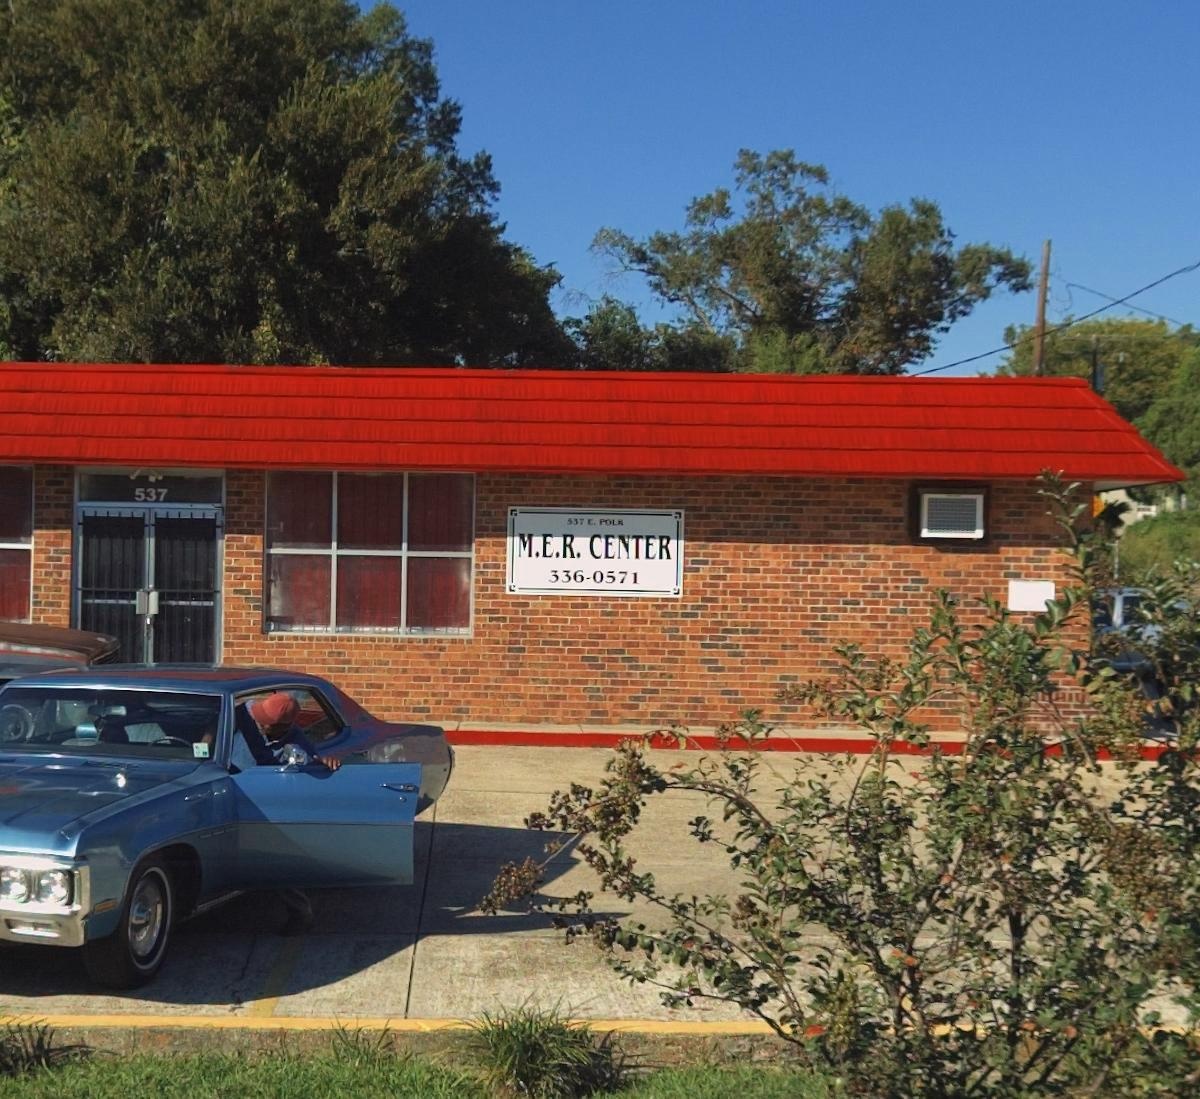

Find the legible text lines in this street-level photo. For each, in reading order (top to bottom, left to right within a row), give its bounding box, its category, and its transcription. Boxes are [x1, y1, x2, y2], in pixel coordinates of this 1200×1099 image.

[133, 486, 170, 503] StreetNumber: 537
[565, 517, 585, 527] StreetNumber: 537
[586, 517, 625, 527] StreetName: E. POLK
[516, 531, 673, 562] BusinessName: M.E.R. CENTER
[548, 569, 641, 585] None: 336-0571